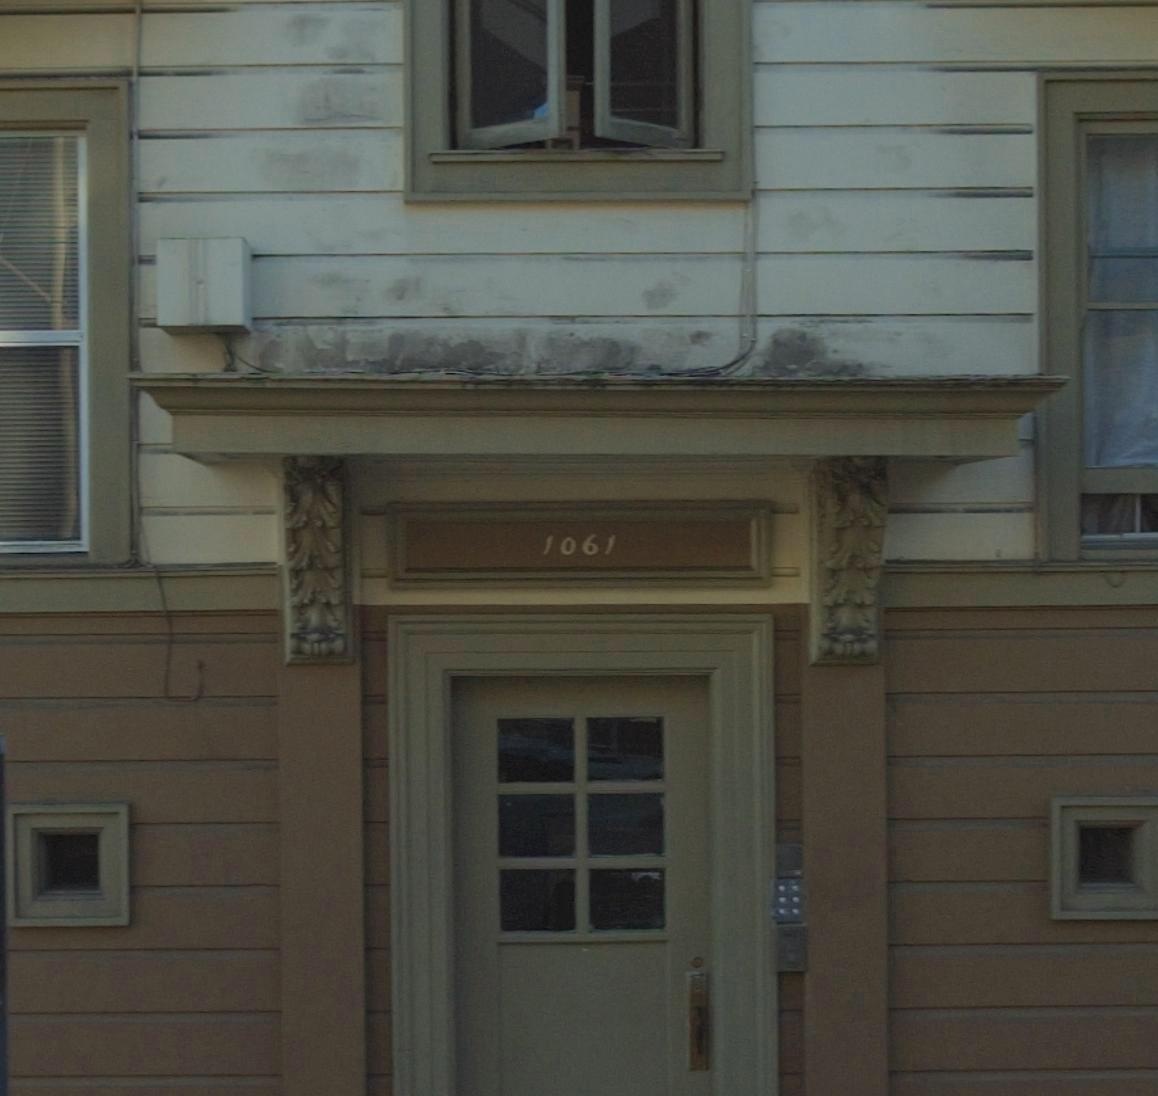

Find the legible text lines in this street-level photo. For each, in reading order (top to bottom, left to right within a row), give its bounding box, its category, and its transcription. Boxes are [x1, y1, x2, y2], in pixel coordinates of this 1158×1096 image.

[539, 532, 618, 559] StreetNumber: 1061